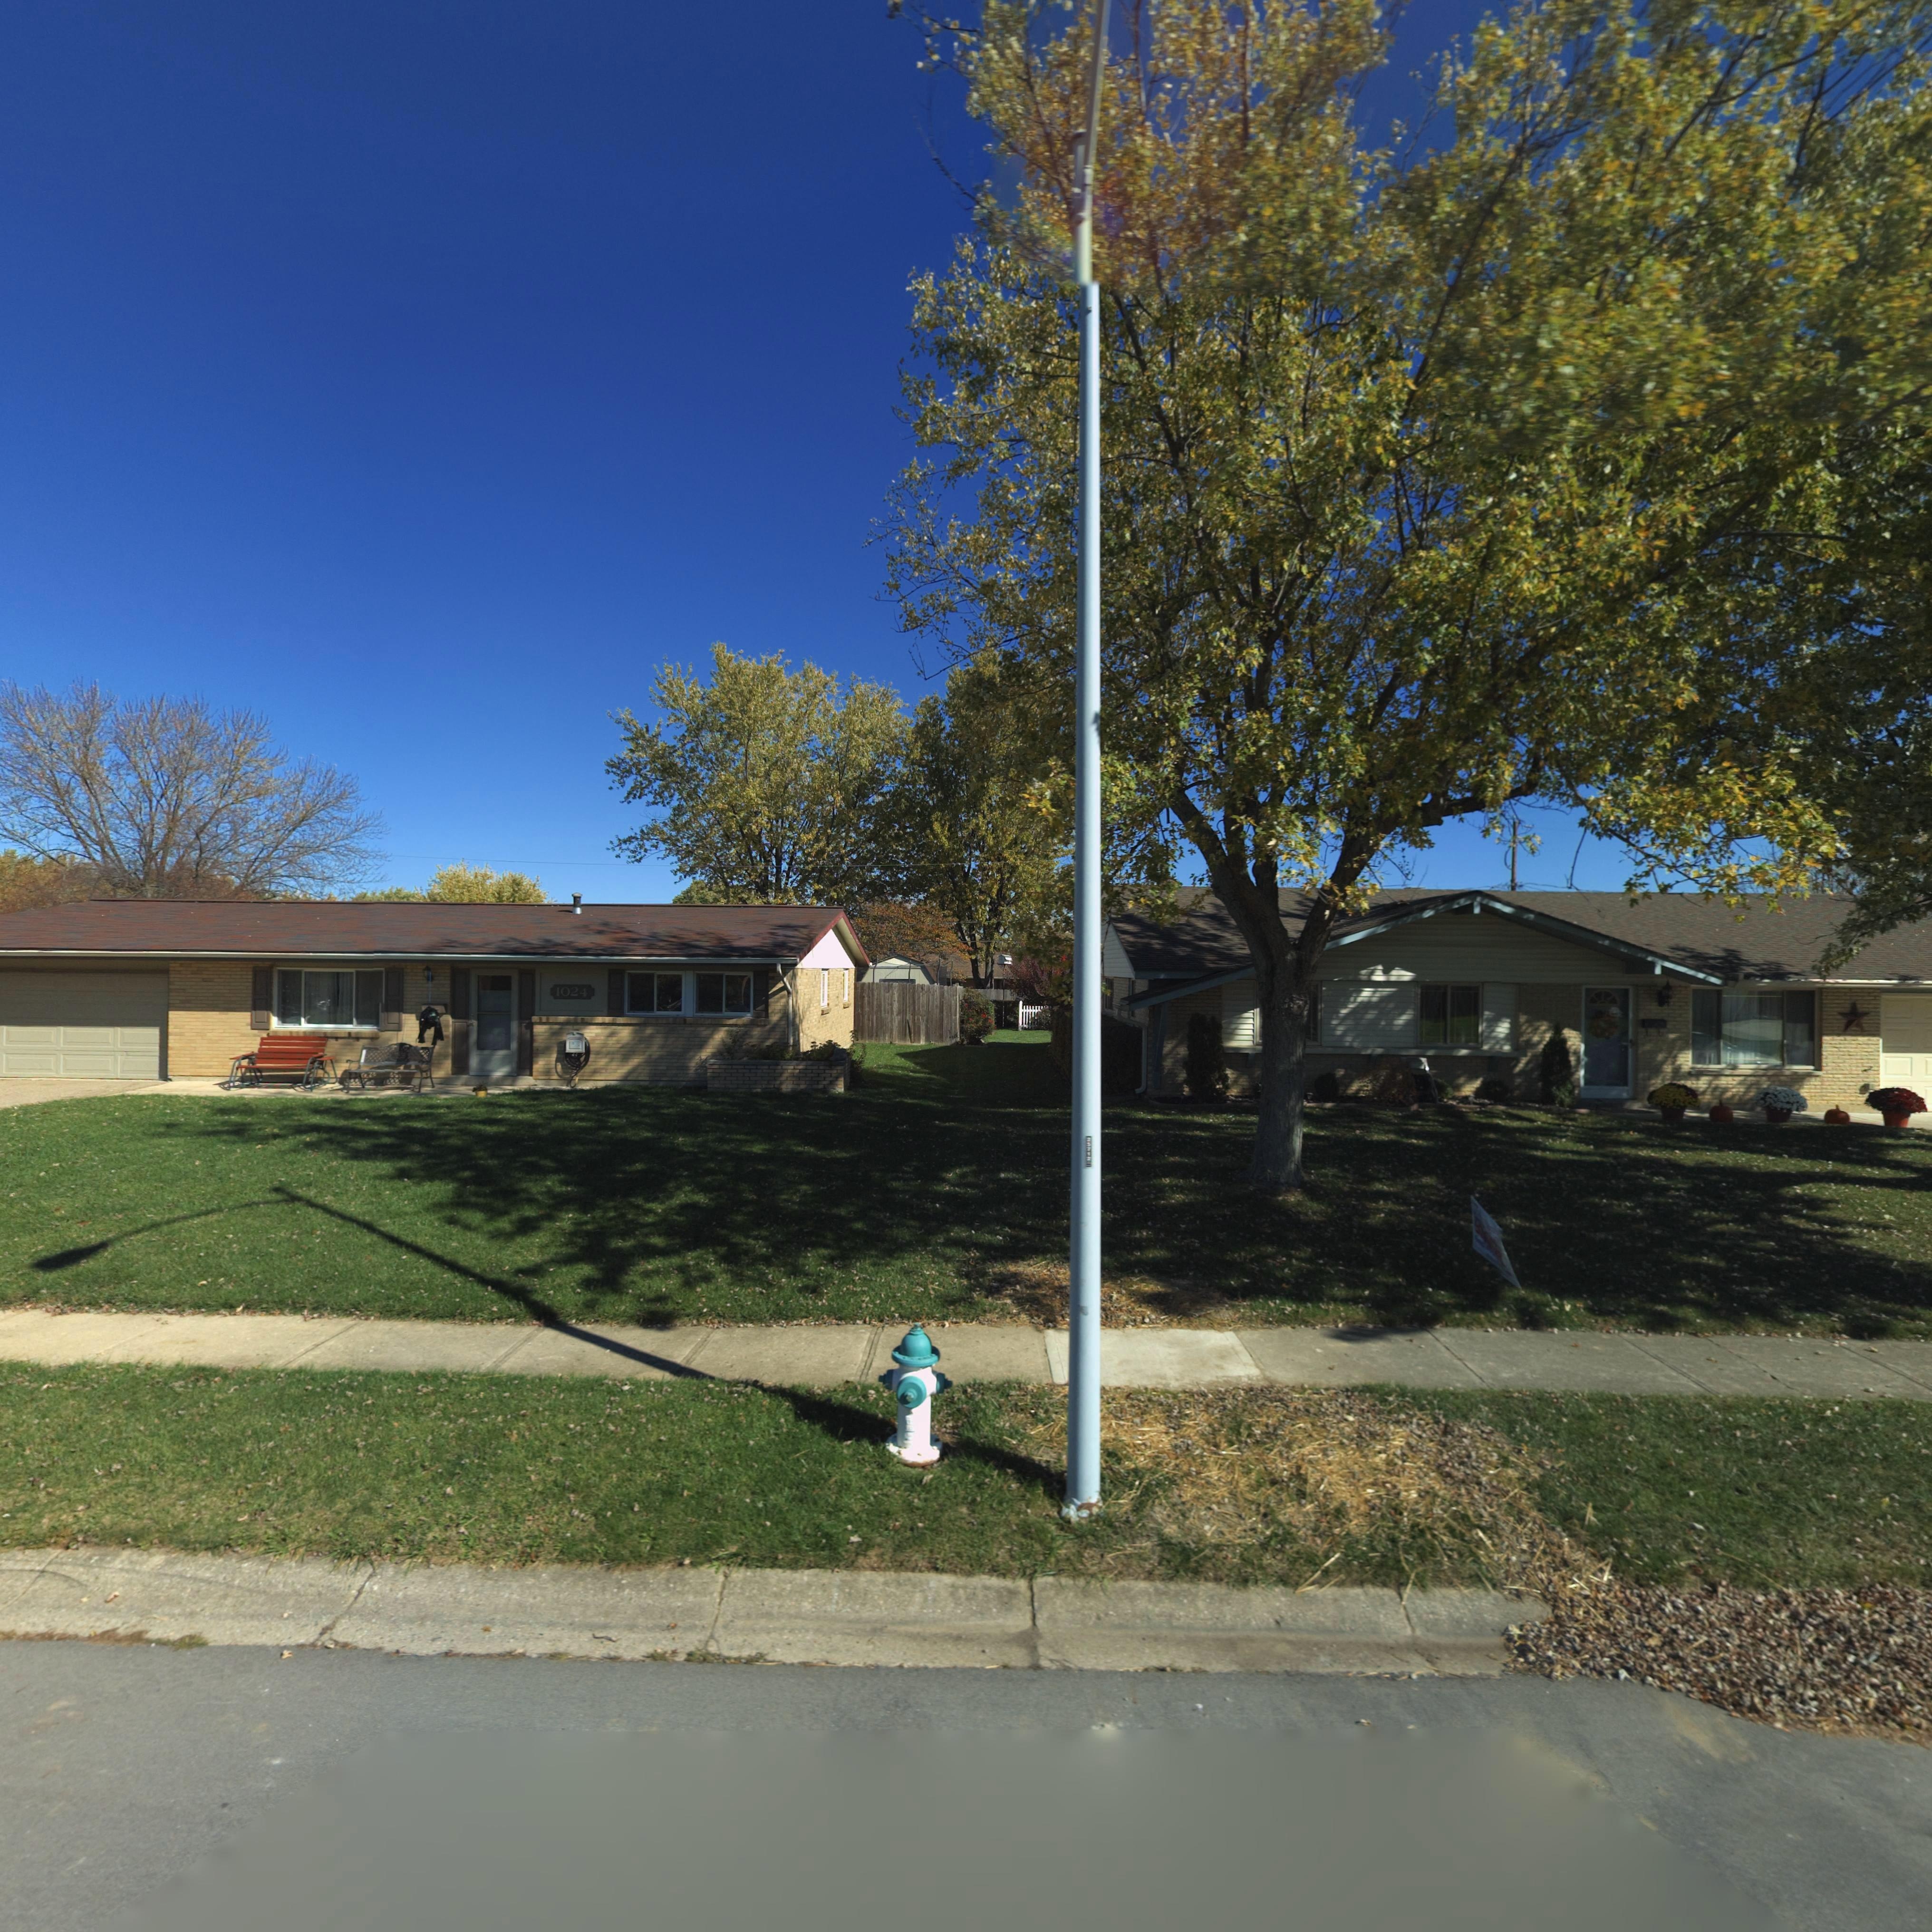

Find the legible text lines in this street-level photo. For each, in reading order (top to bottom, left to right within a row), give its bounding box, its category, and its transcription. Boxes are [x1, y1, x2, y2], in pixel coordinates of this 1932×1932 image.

[555, 986, 589, 997] StreetNumber: 1024